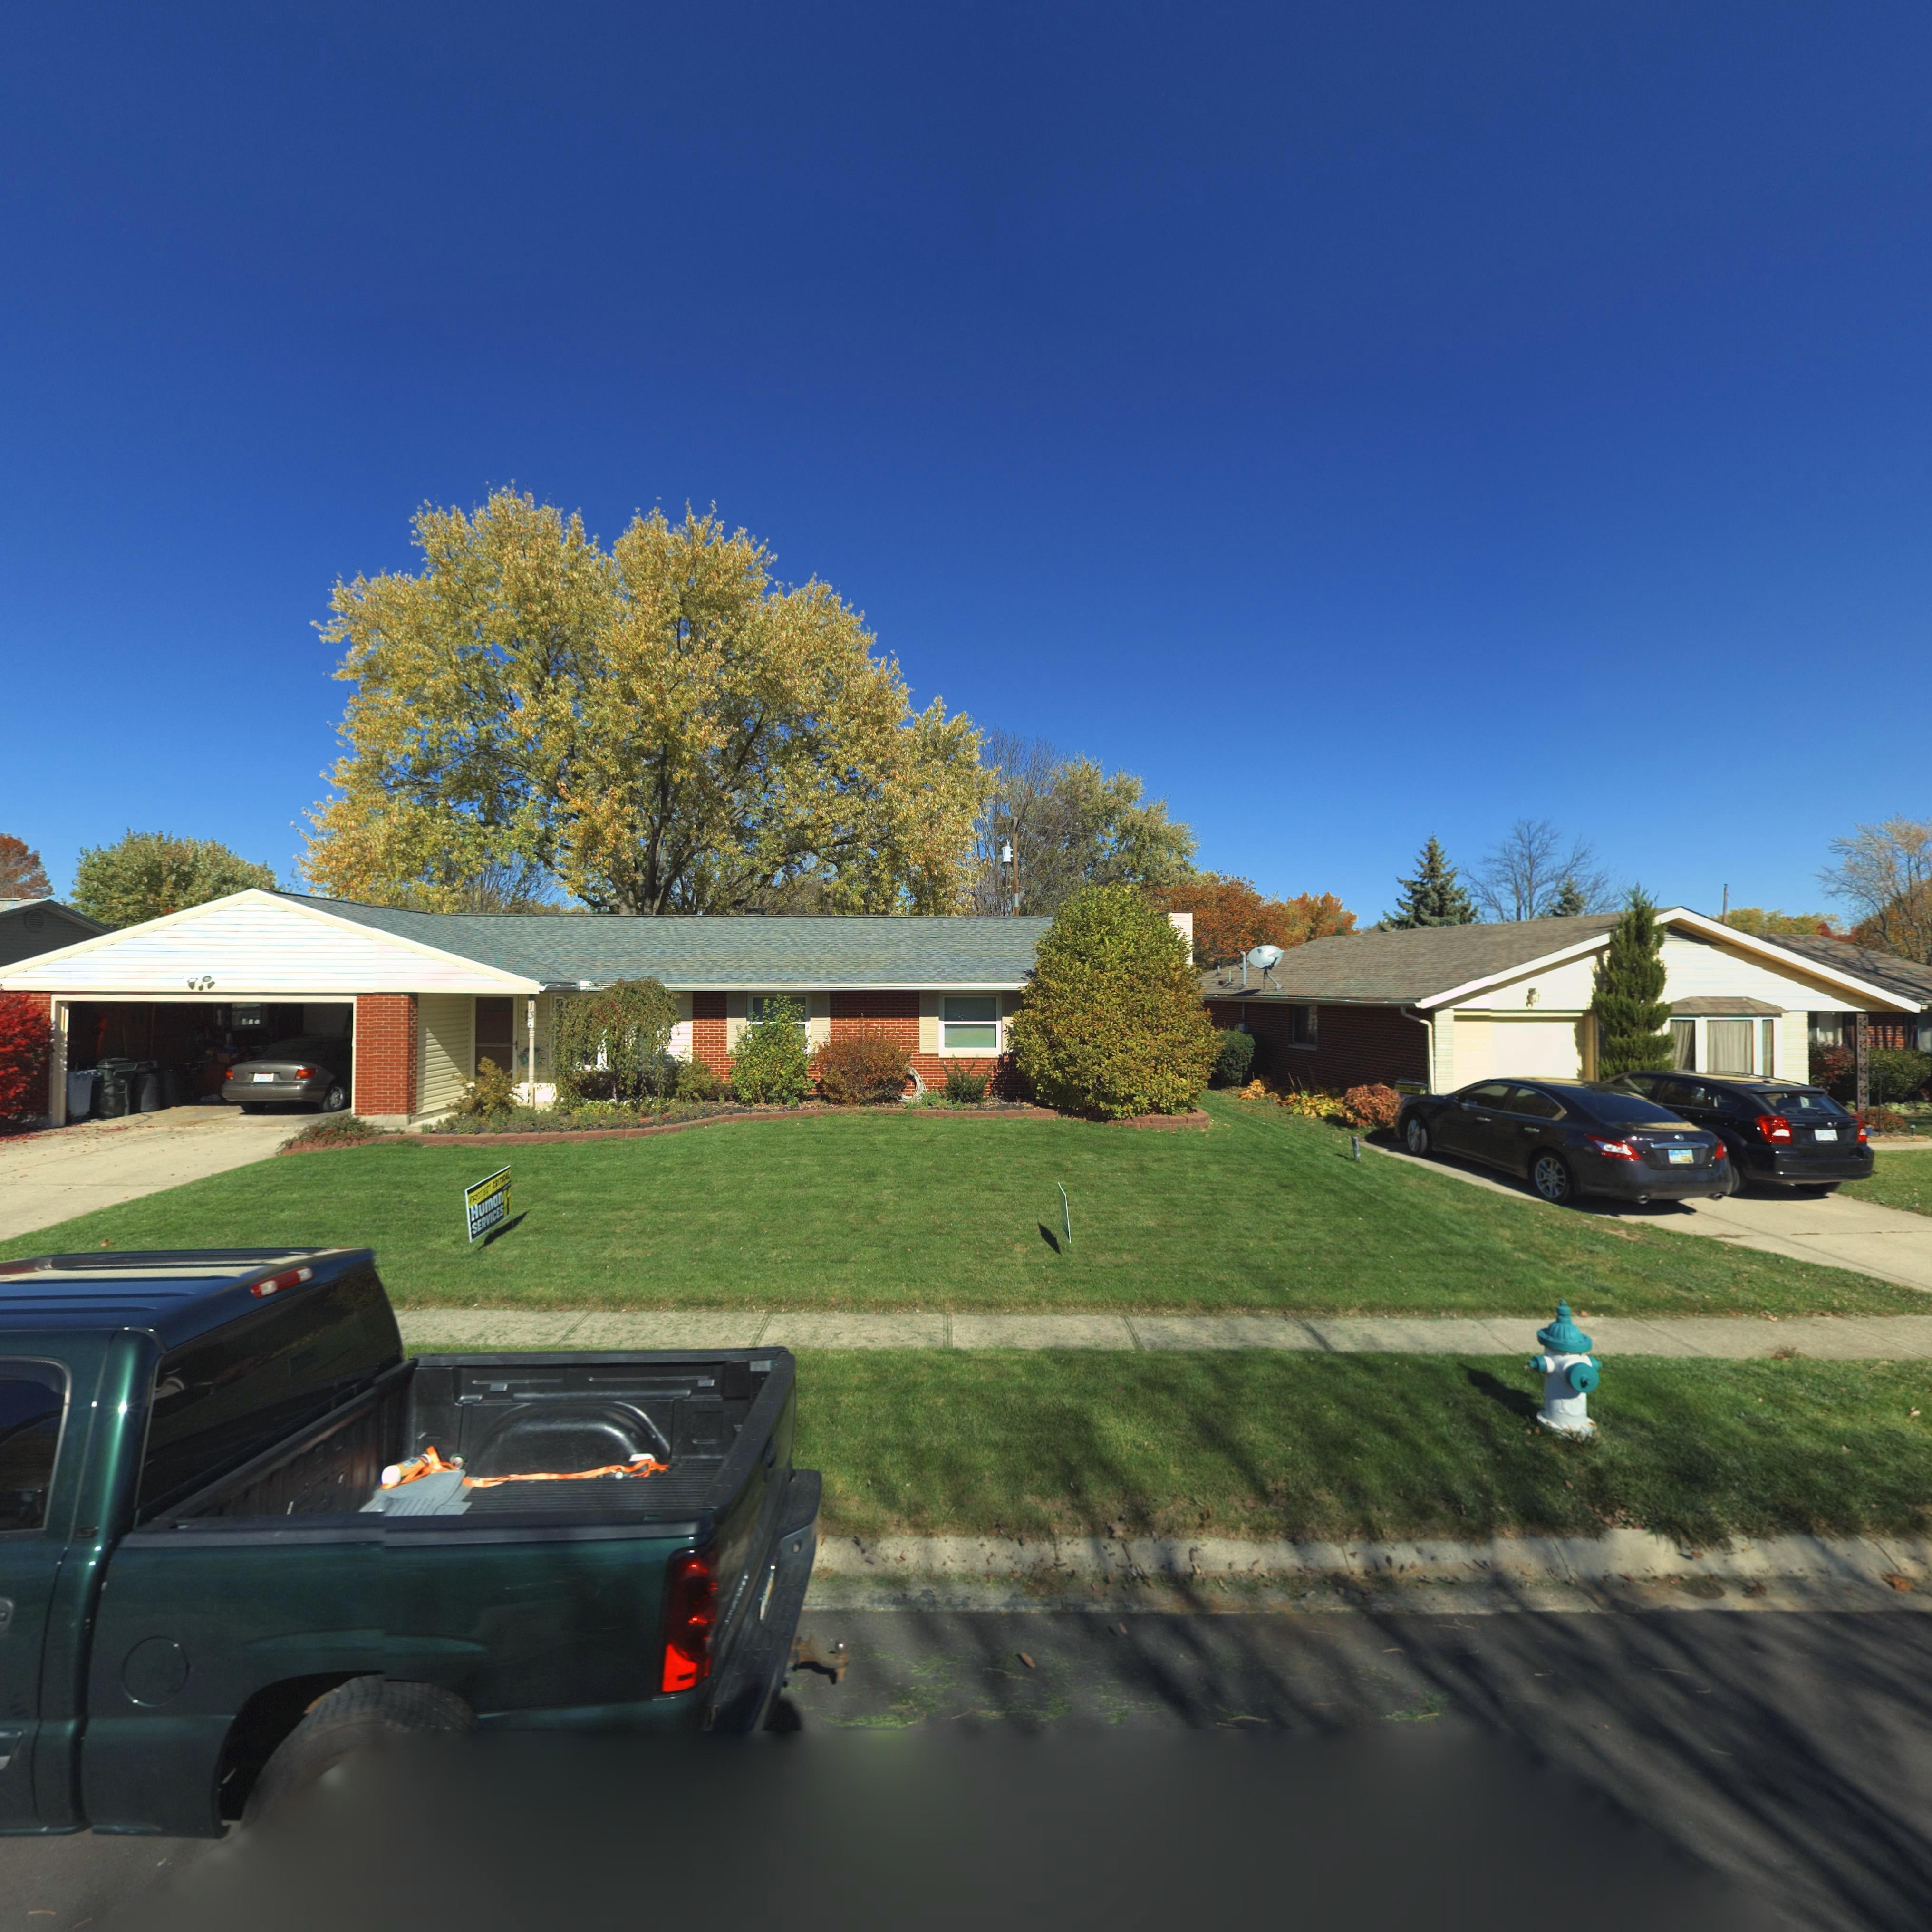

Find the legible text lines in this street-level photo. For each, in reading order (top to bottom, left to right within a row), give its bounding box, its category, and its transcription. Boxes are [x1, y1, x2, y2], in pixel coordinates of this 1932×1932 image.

[528, 994, 534, 1019] StreetNumber: 813